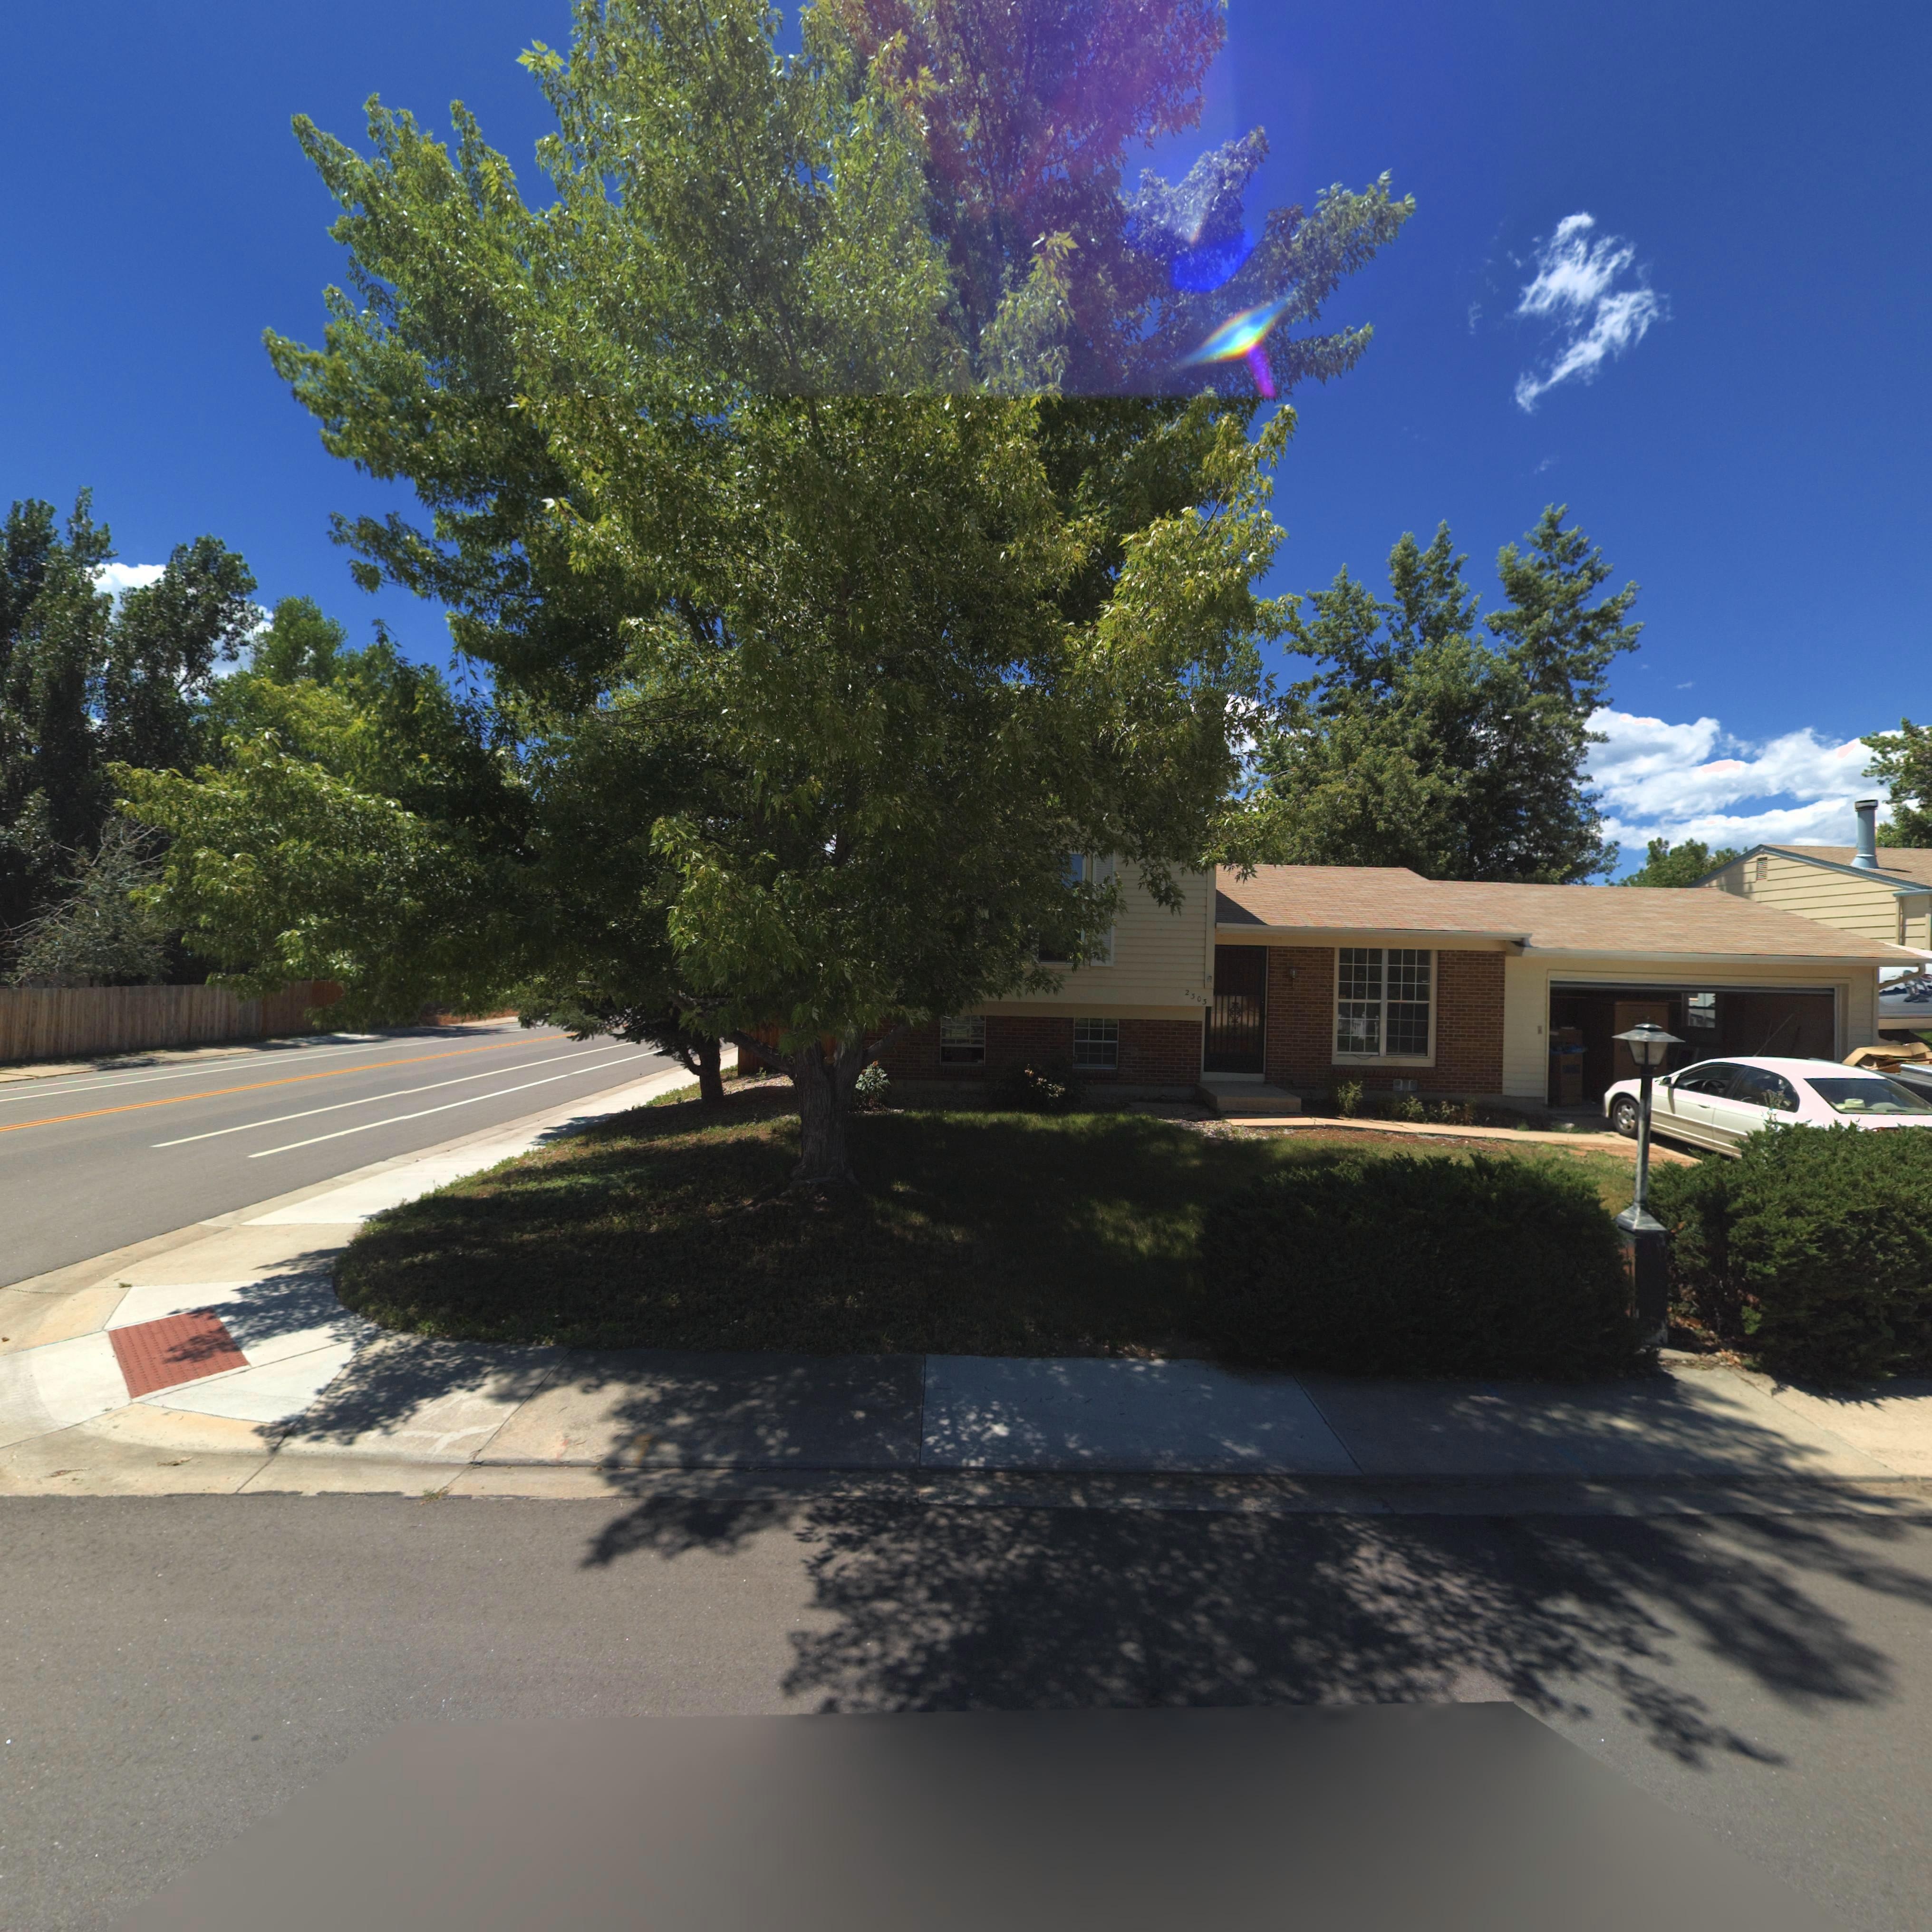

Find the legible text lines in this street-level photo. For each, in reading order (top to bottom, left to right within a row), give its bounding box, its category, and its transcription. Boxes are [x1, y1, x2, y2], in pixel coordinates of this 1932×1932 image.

[1185, 989, 1207, 1005] StreetNumber: 2303